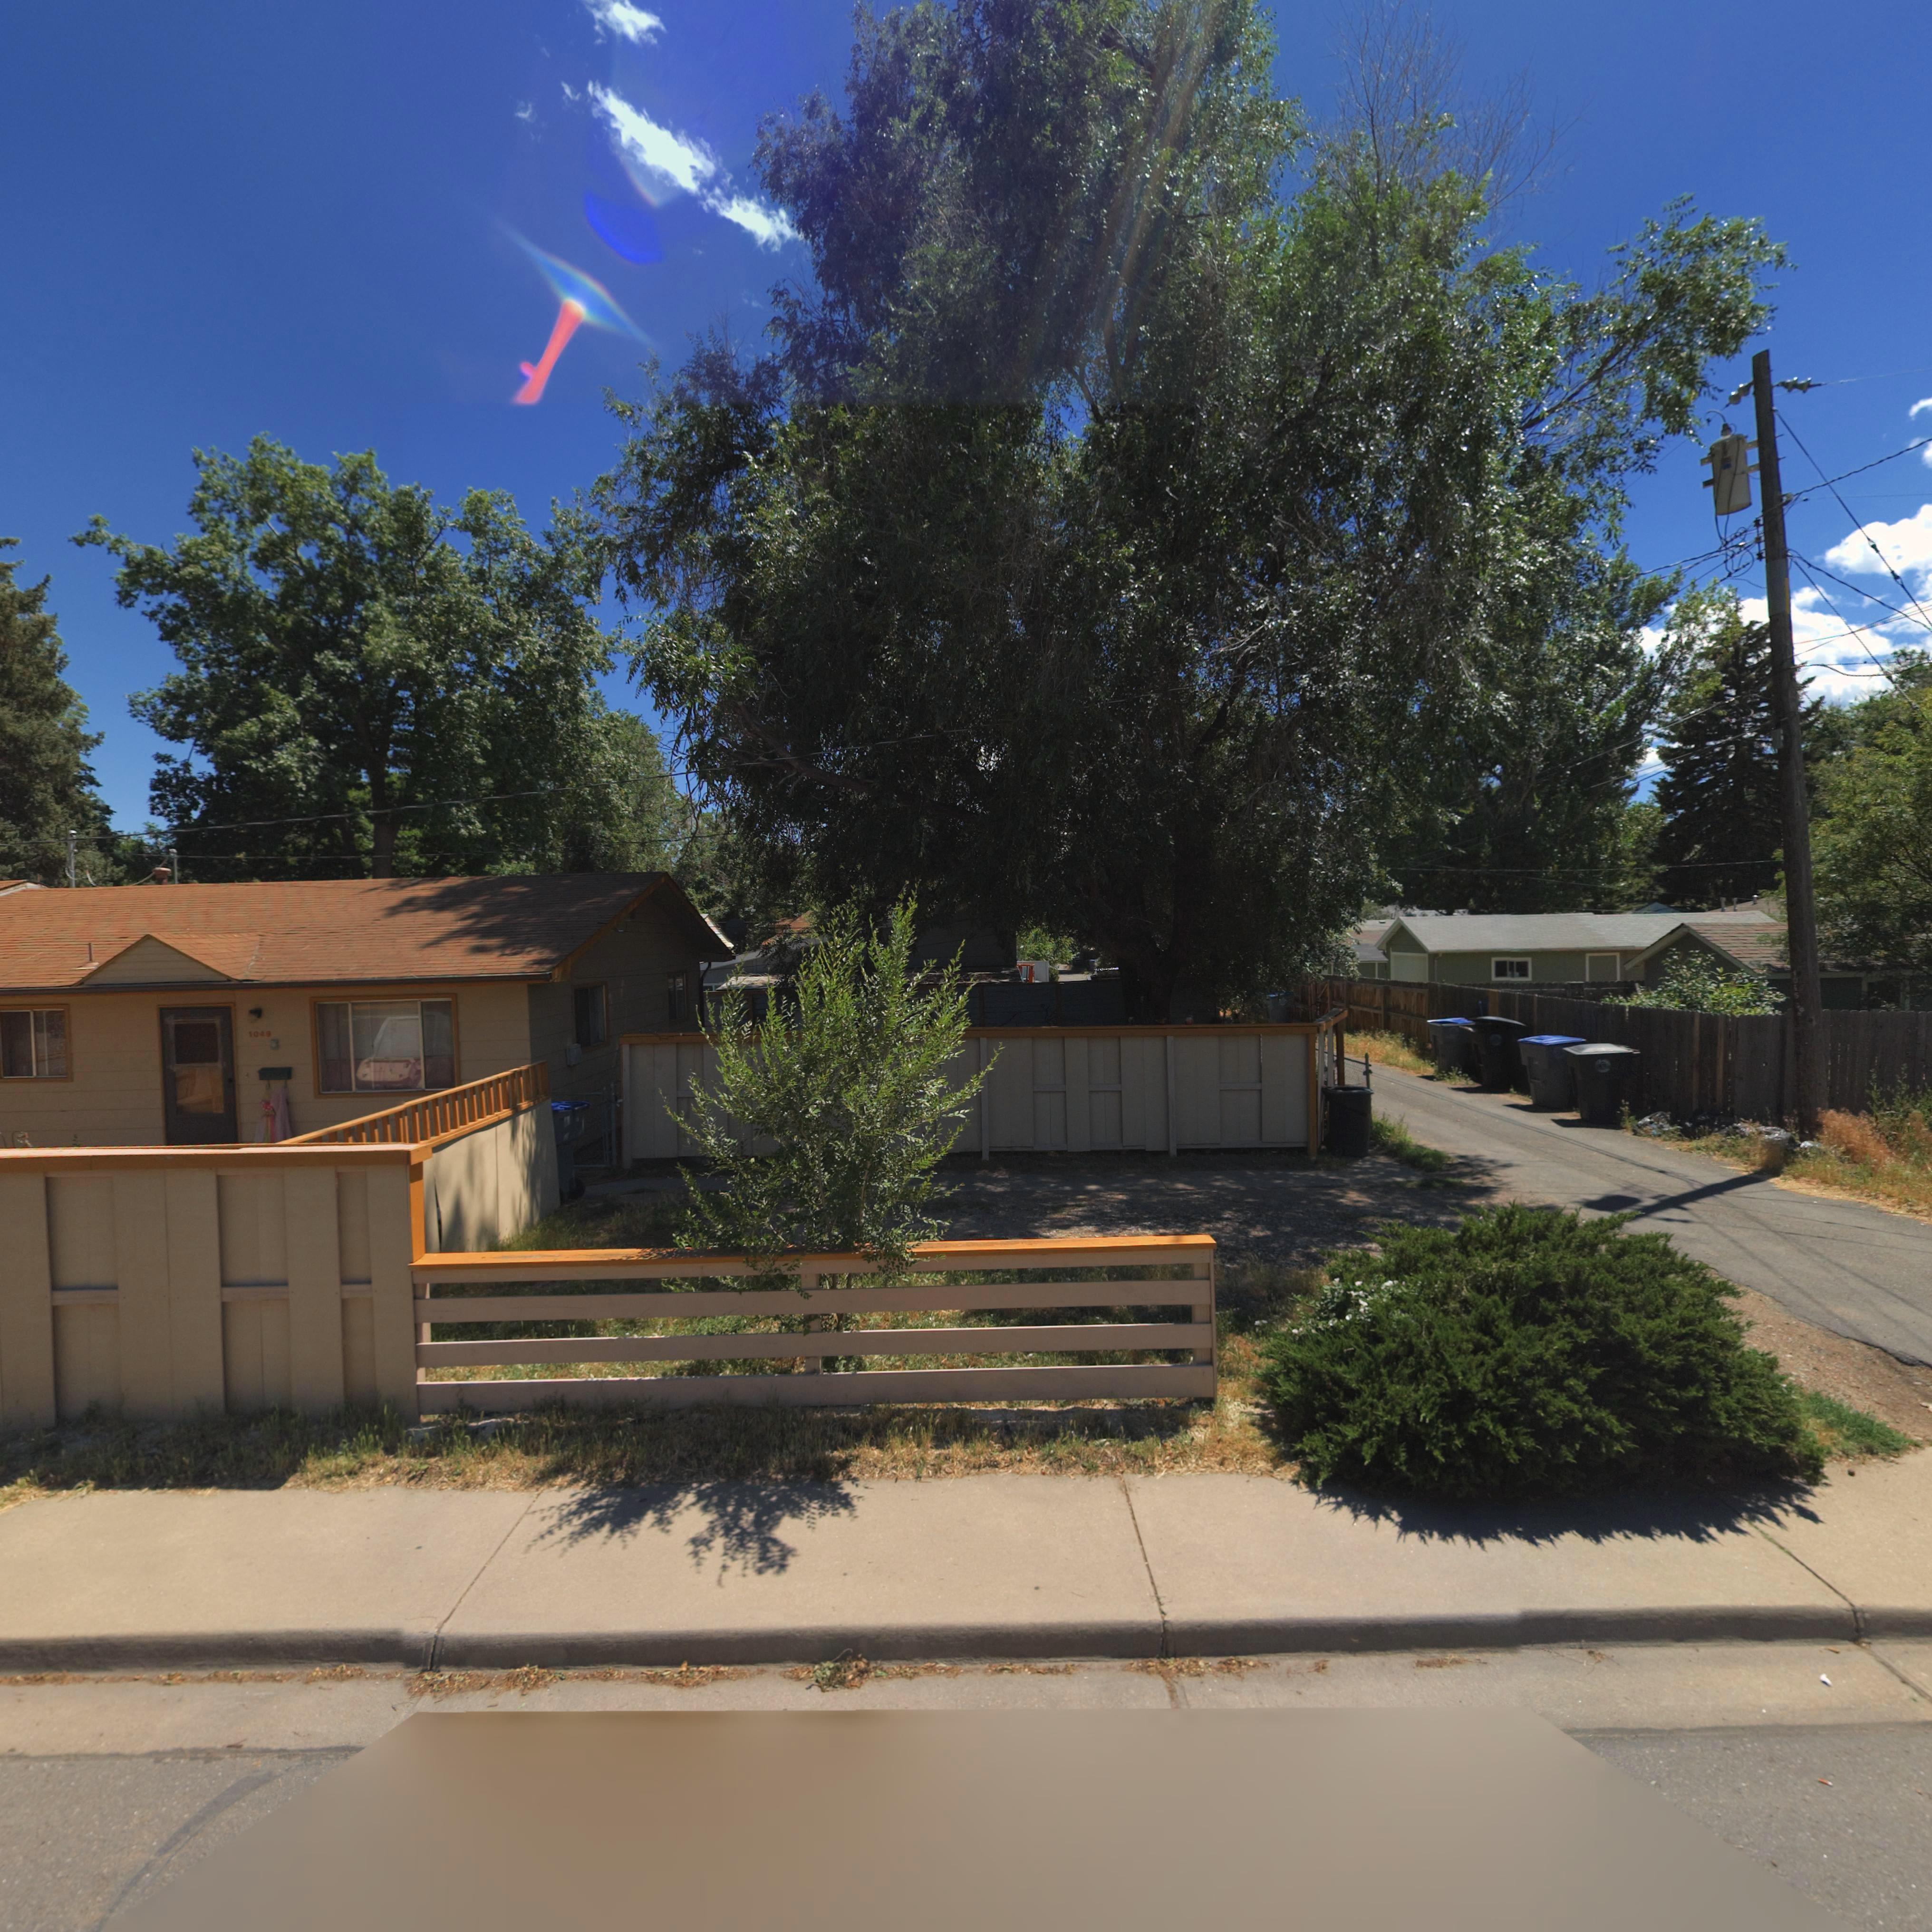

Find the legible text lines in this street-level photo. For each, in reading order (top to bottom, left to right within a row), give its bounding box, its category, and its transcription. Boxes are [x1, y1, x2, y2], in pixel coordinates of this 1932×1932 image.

[249, 1030, 270, 1037] StreetNumber: 104*